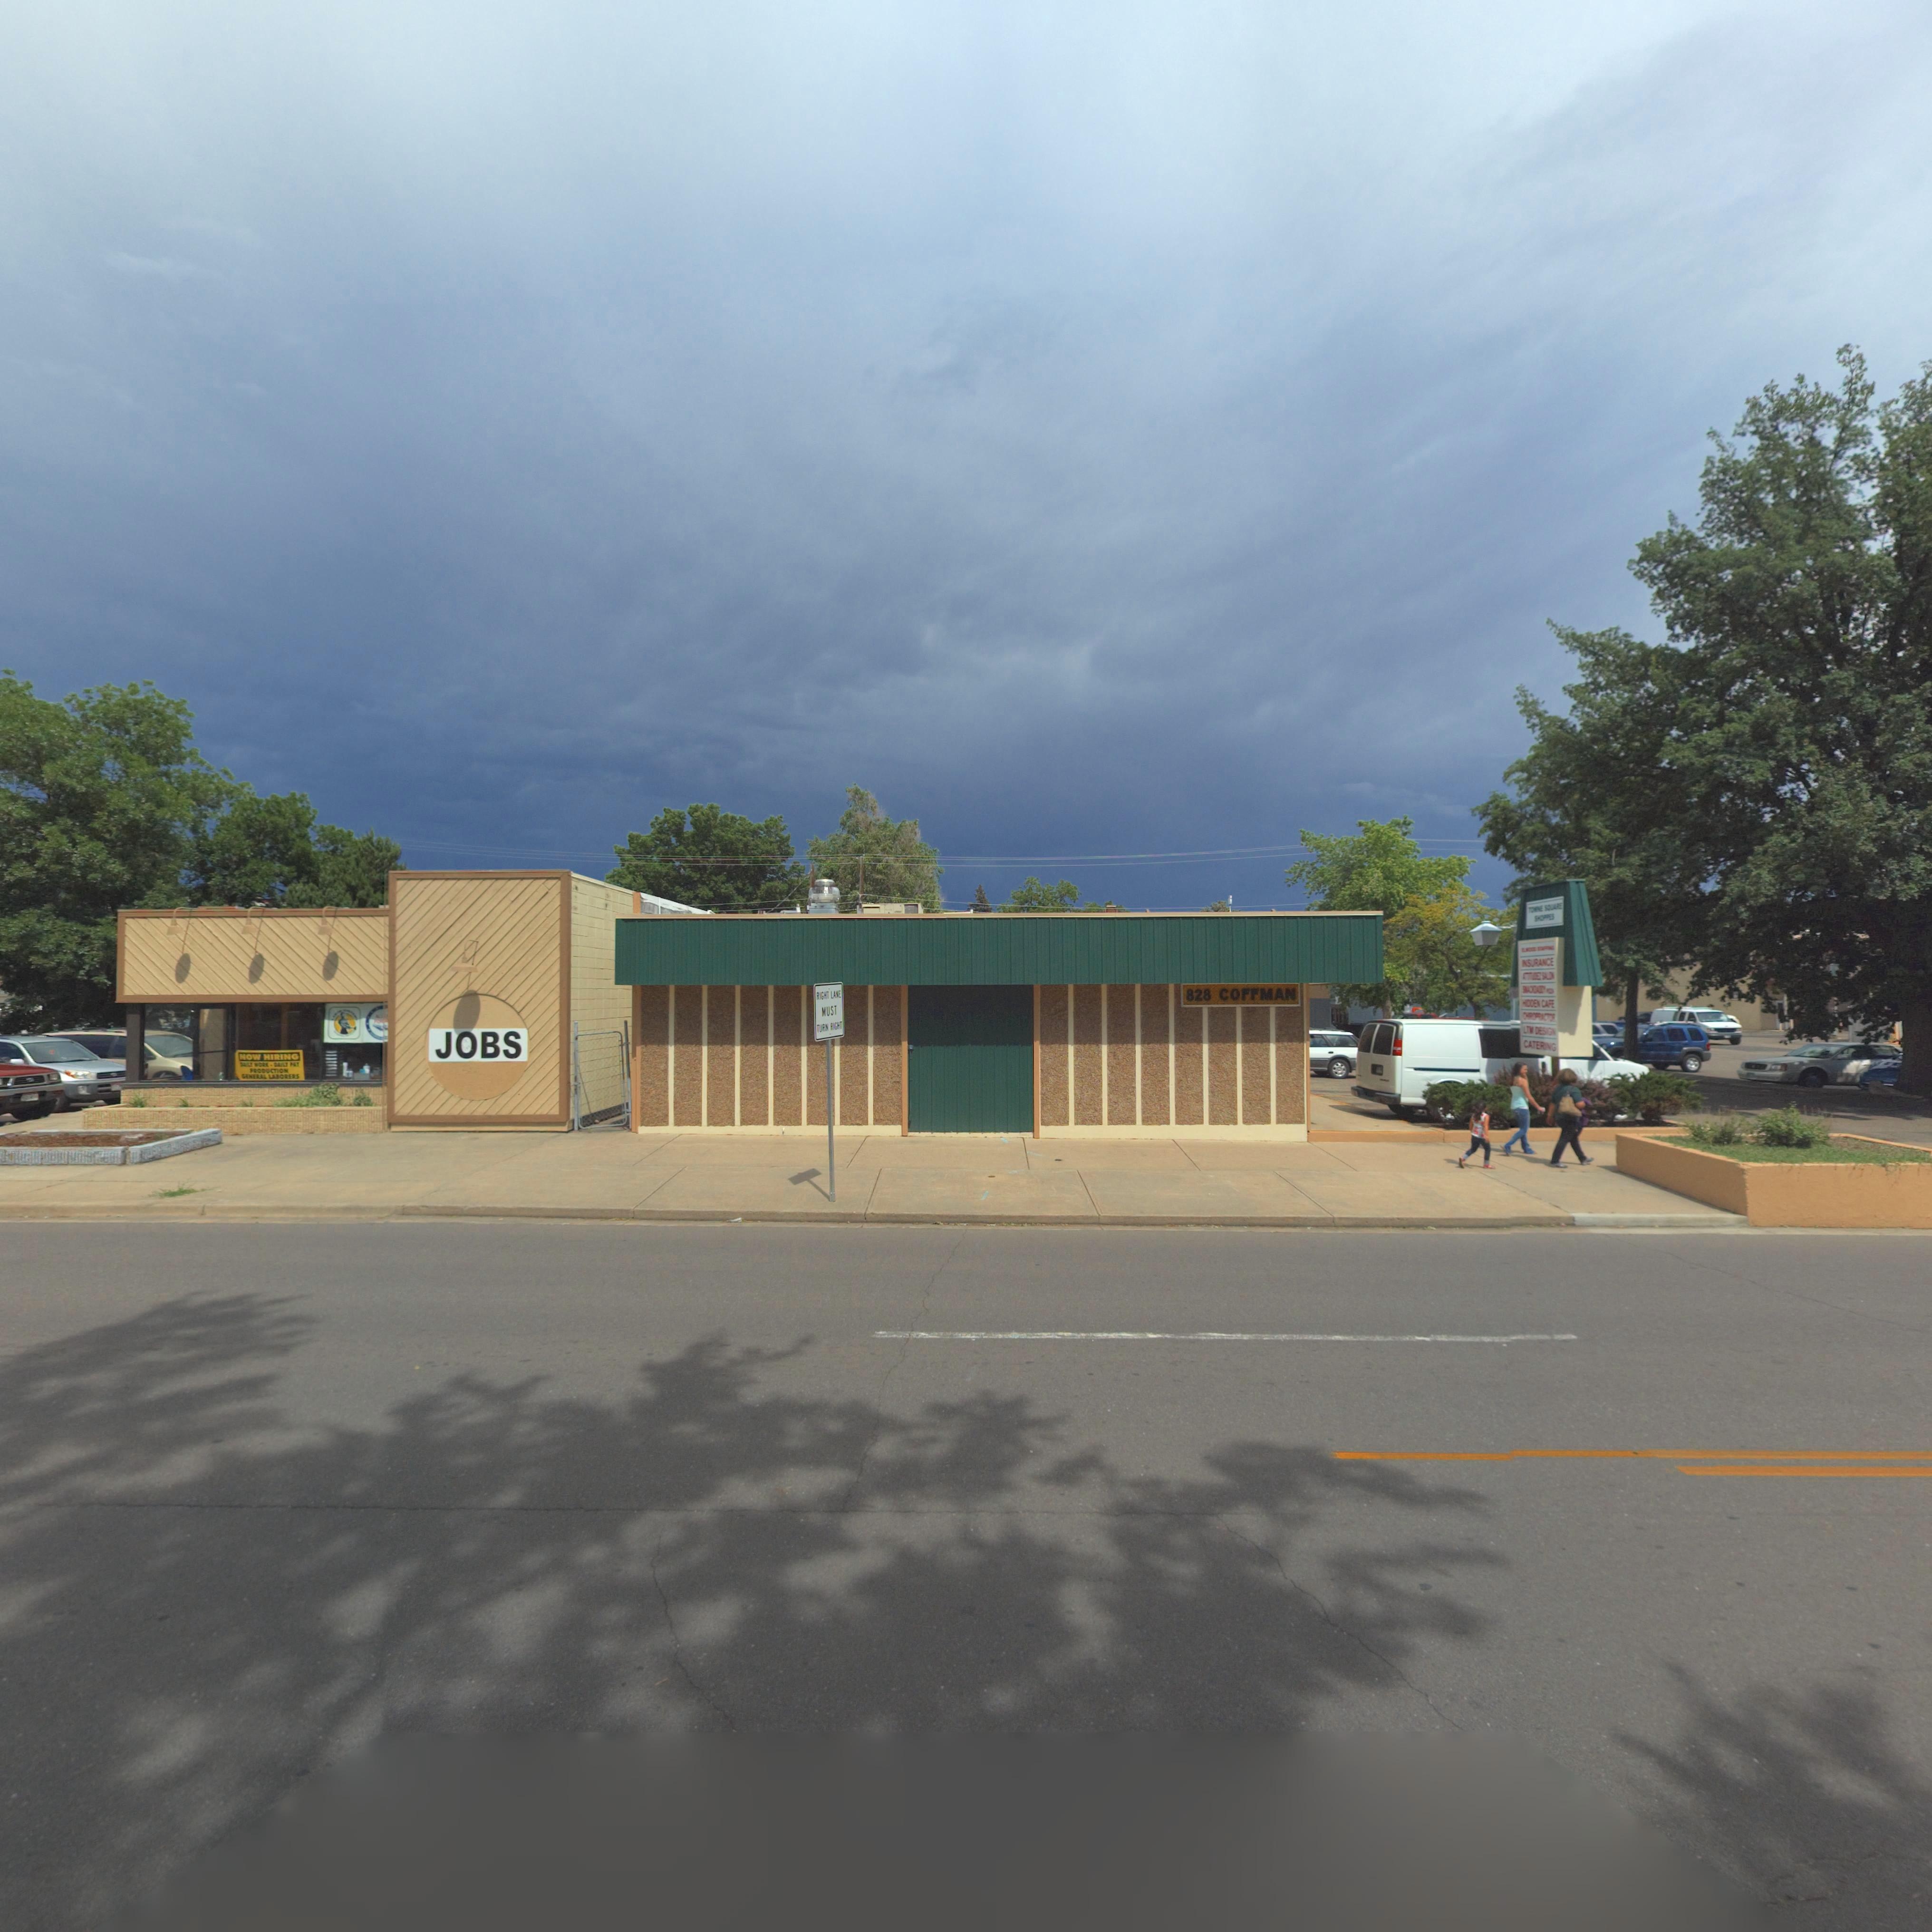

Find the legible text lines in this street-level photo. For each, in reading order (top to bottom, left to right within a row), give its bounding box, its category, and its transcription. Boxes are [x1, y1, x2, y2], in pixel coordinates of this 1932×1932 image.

[1522, 971, 1555, 981] BusinessName: ATTITUDEZ SALON
[1186, 988, 1212, 1001] StreetNumber: 828
[1218, 988, 1296, 1001] StreetName: COFFMAN
[1522, 999, 1555, 1007] BusinessName: HIDDEN CAFE
[1524, 1025, 1556, 1035] BusinessName: LTM DESIGN